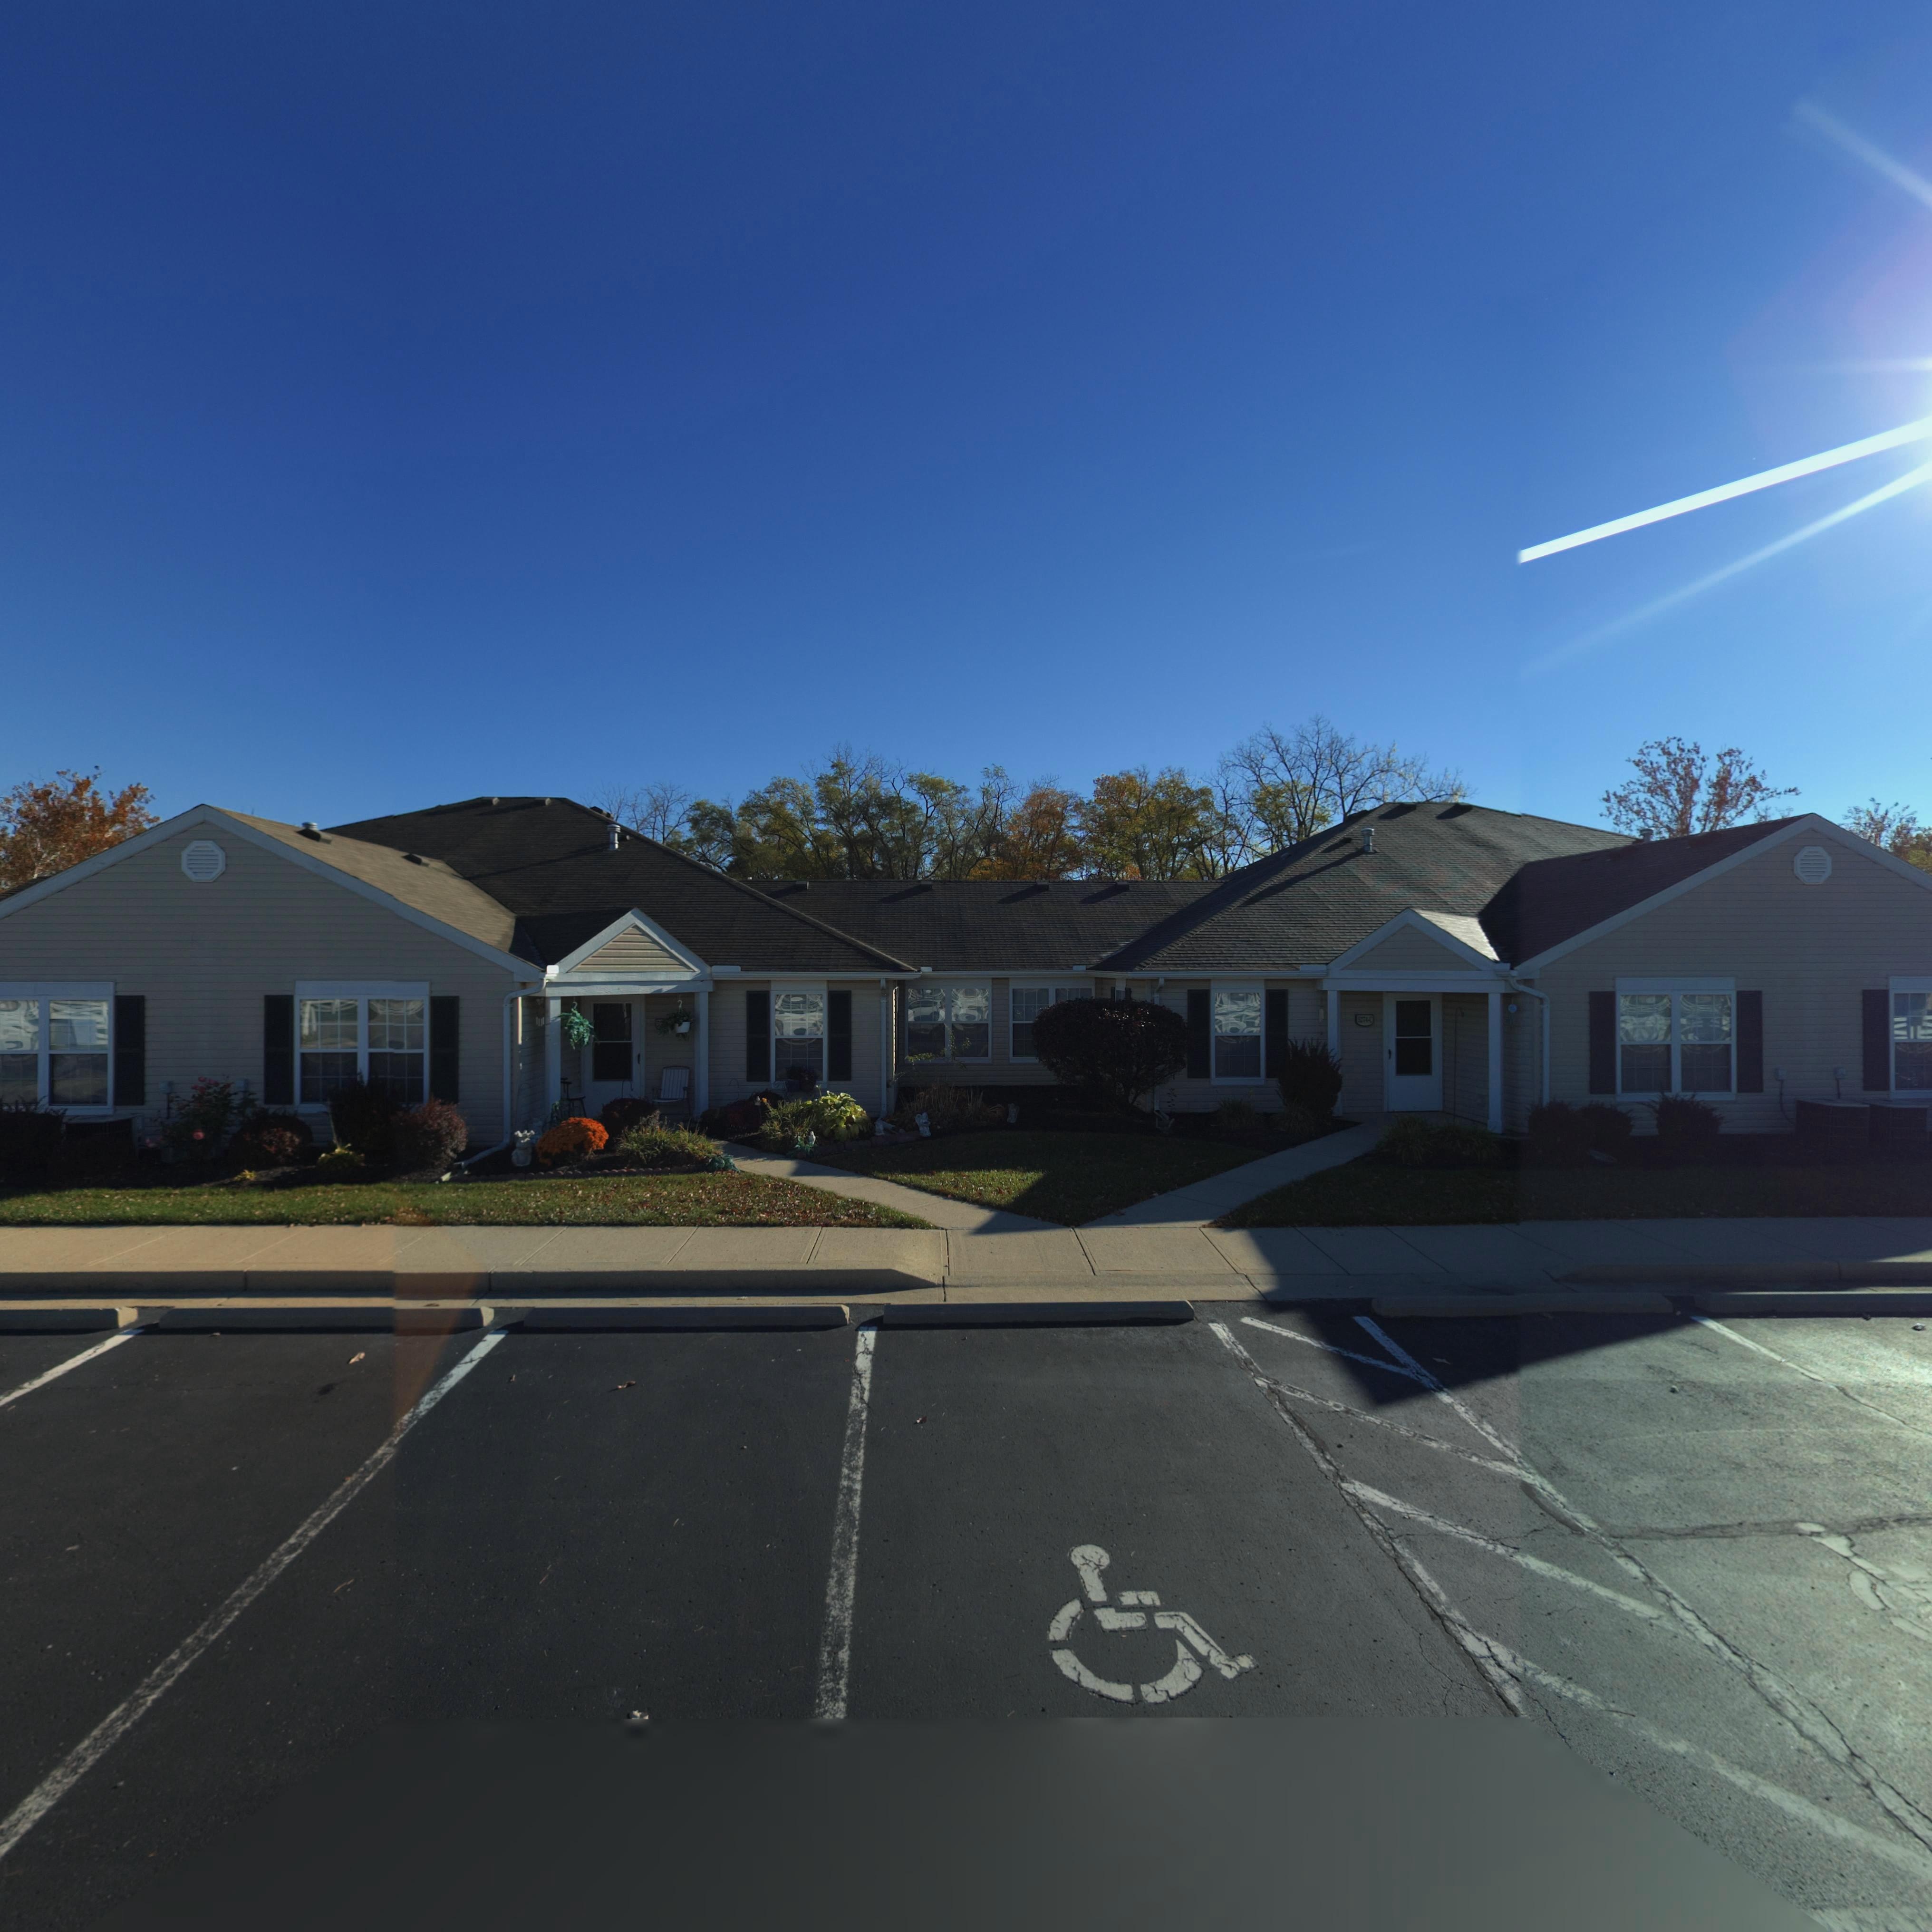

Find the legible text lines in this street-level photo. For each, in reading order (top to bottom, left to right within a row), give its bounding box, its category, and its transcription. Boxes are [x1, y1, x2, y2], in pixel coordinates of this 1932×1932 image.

[1357, 1015, 1374, 1024] StreetNumber: 5274-C